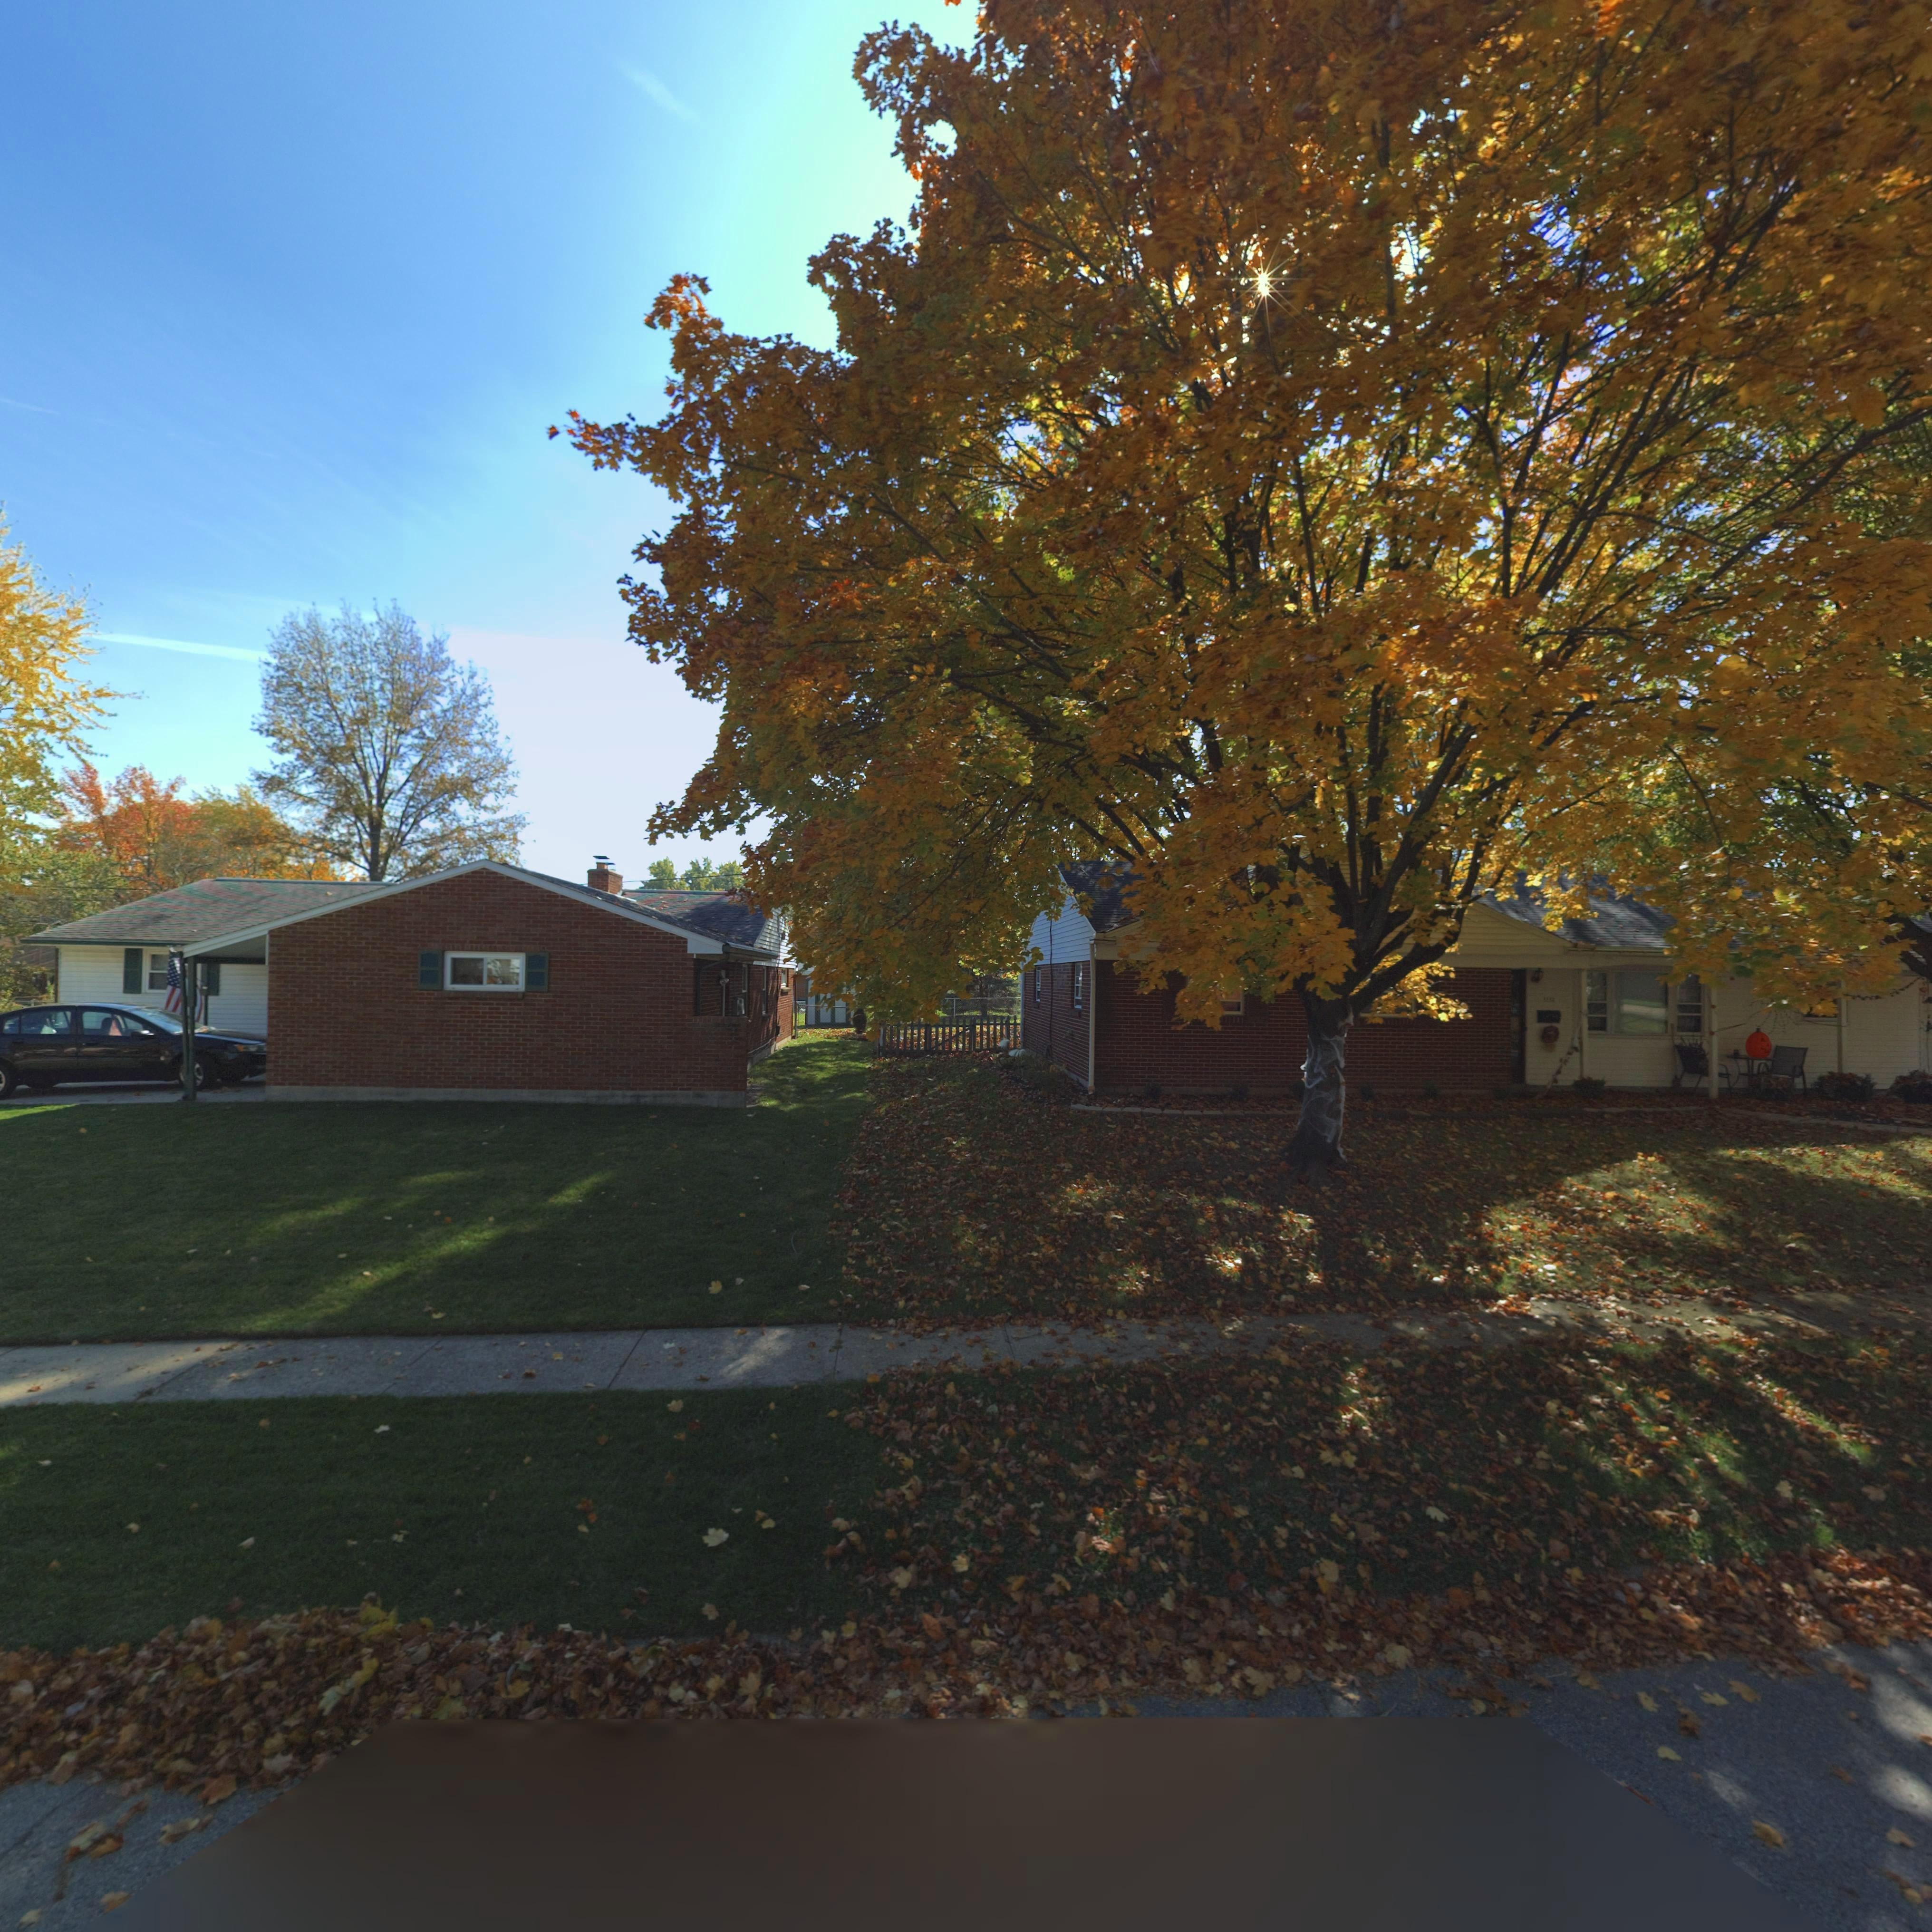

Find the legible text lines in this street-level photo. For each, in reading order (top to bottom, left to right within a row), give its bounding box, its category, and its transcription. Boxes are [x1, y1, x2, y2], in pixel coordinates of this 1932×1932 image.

[1542, 995, 1556, 1003] StreetNumber: 11**